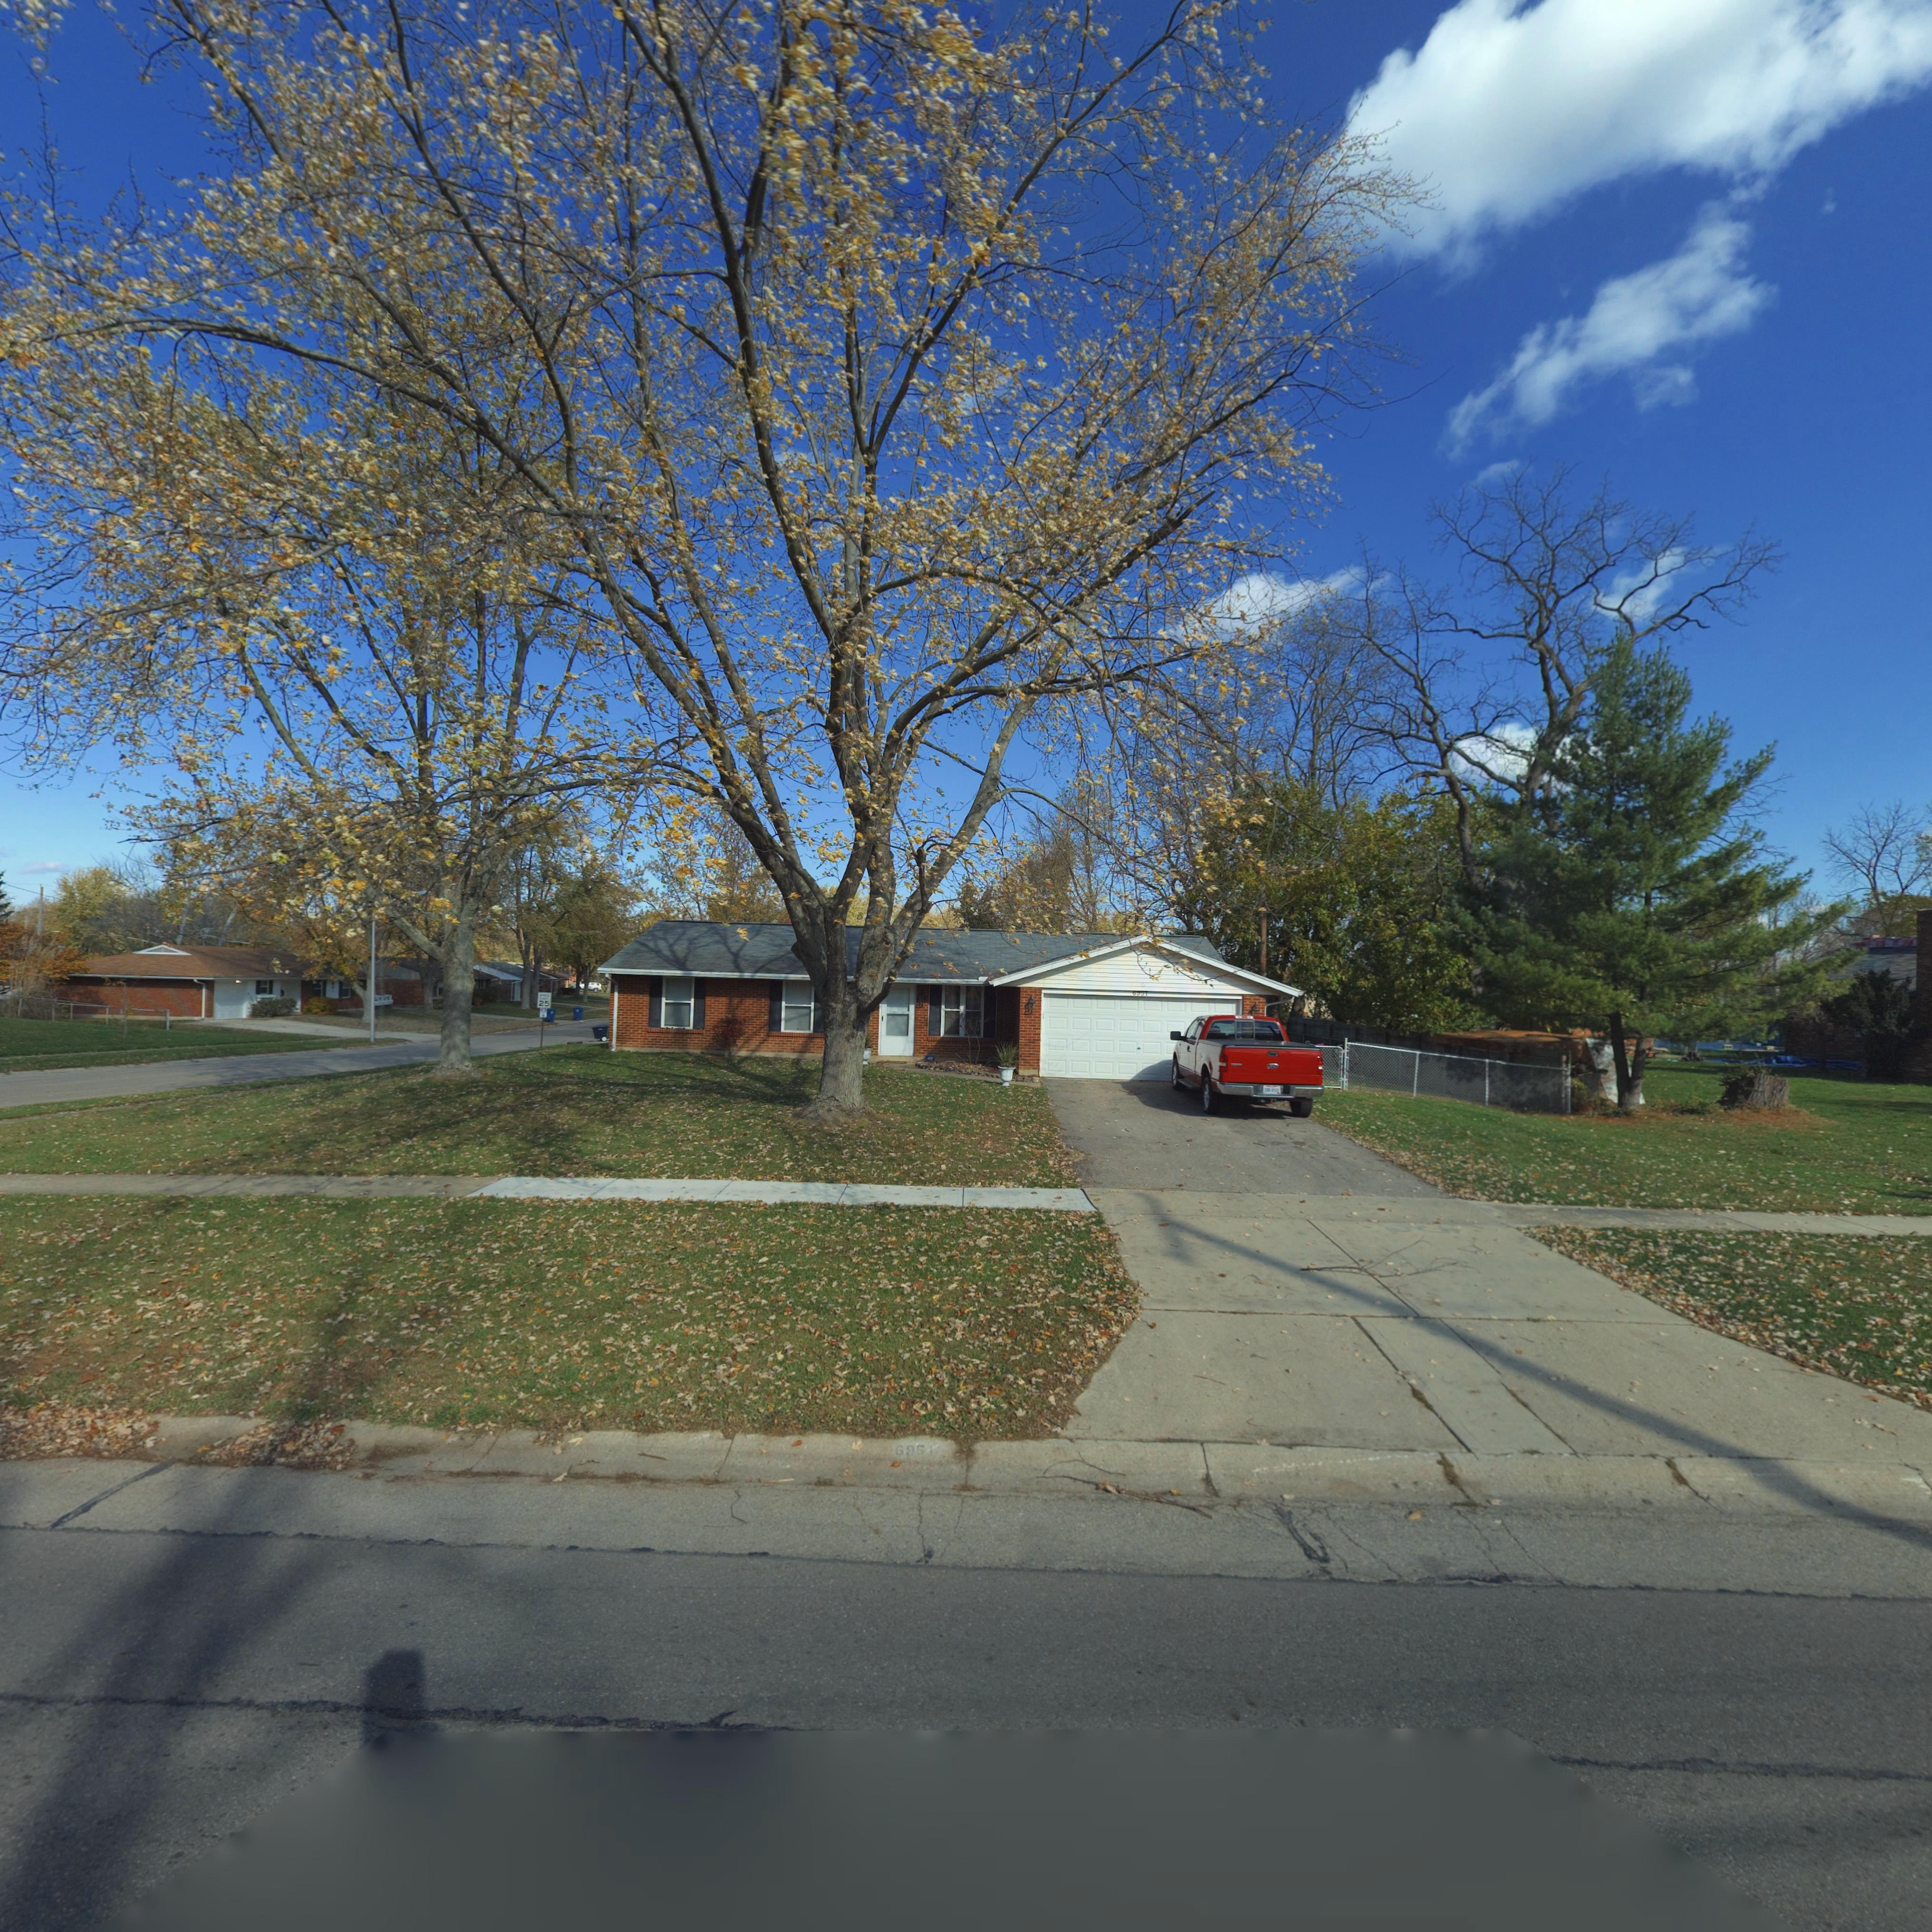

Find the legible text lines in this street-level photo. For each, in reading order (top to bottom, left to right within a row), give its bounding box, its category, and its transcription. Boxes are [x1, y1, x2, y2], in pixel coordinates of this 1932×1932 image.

[1131, 990, 1148, 997] StreetNumber: 6***